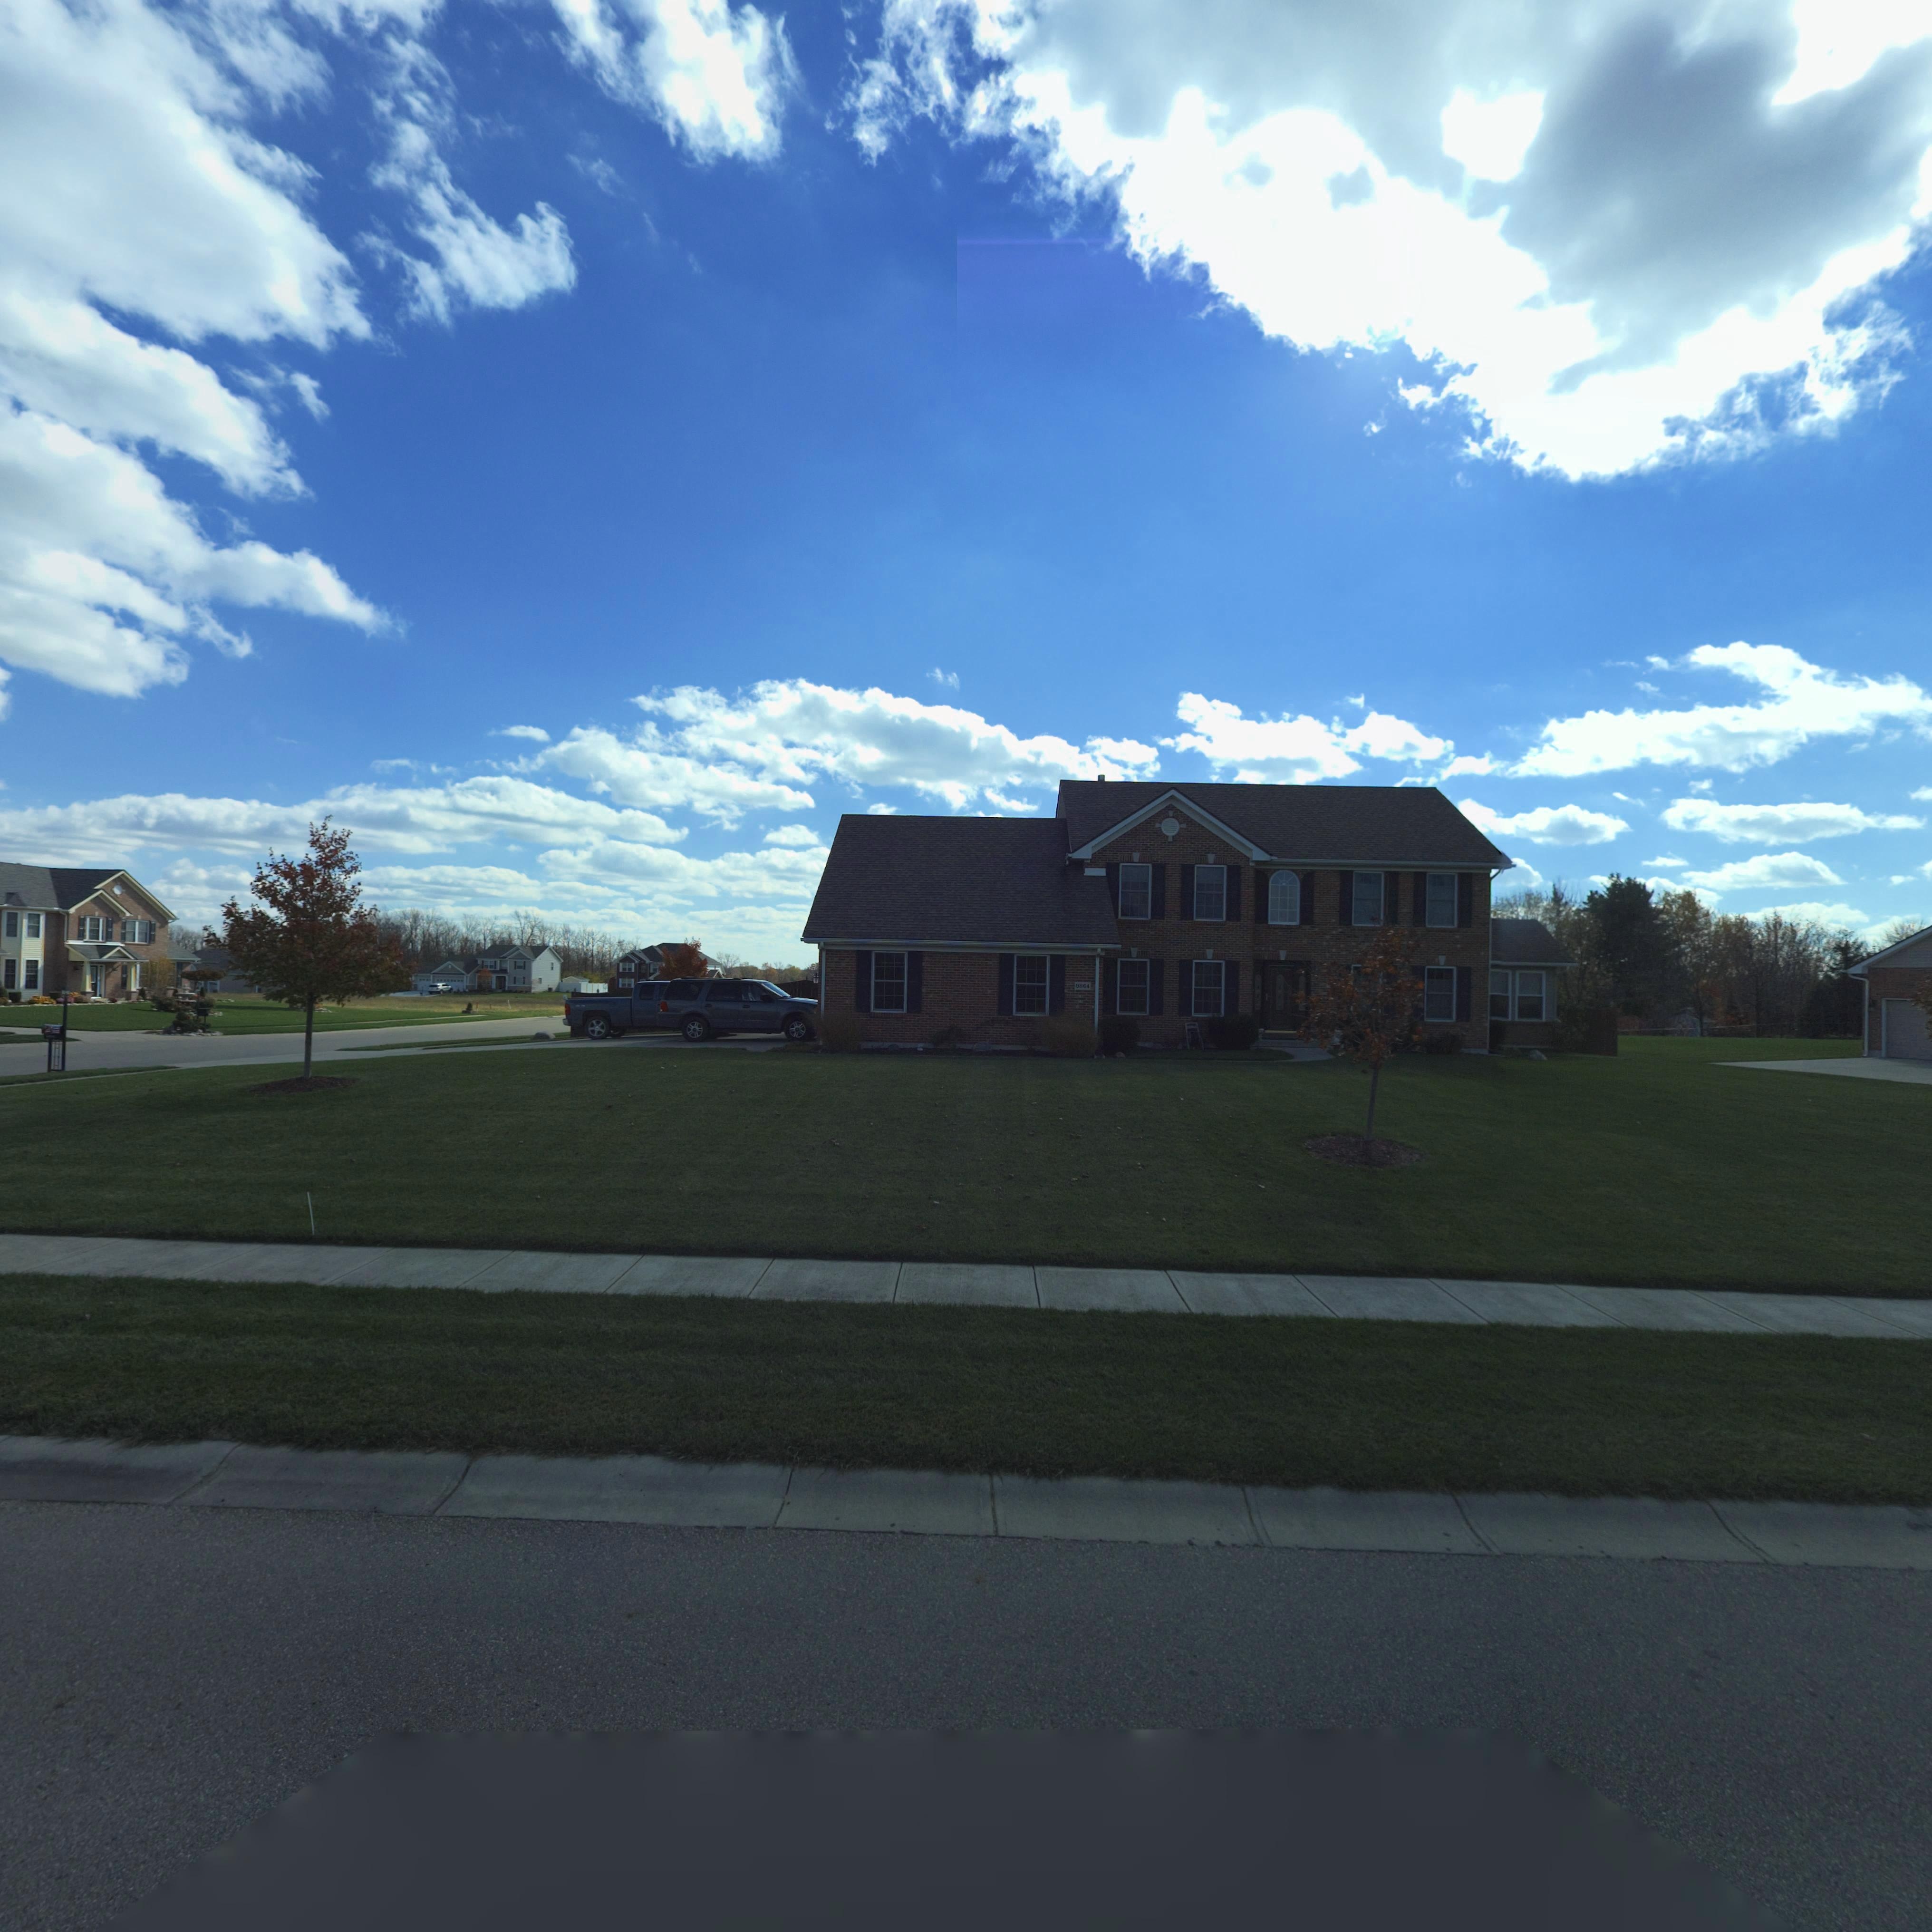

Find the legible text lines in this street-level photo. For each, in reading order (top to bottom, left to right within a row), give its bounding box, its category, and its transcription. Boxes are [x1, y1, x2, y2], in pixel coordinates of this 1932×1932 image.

[1075, 983, 1090, 989] StreetNumber: *864